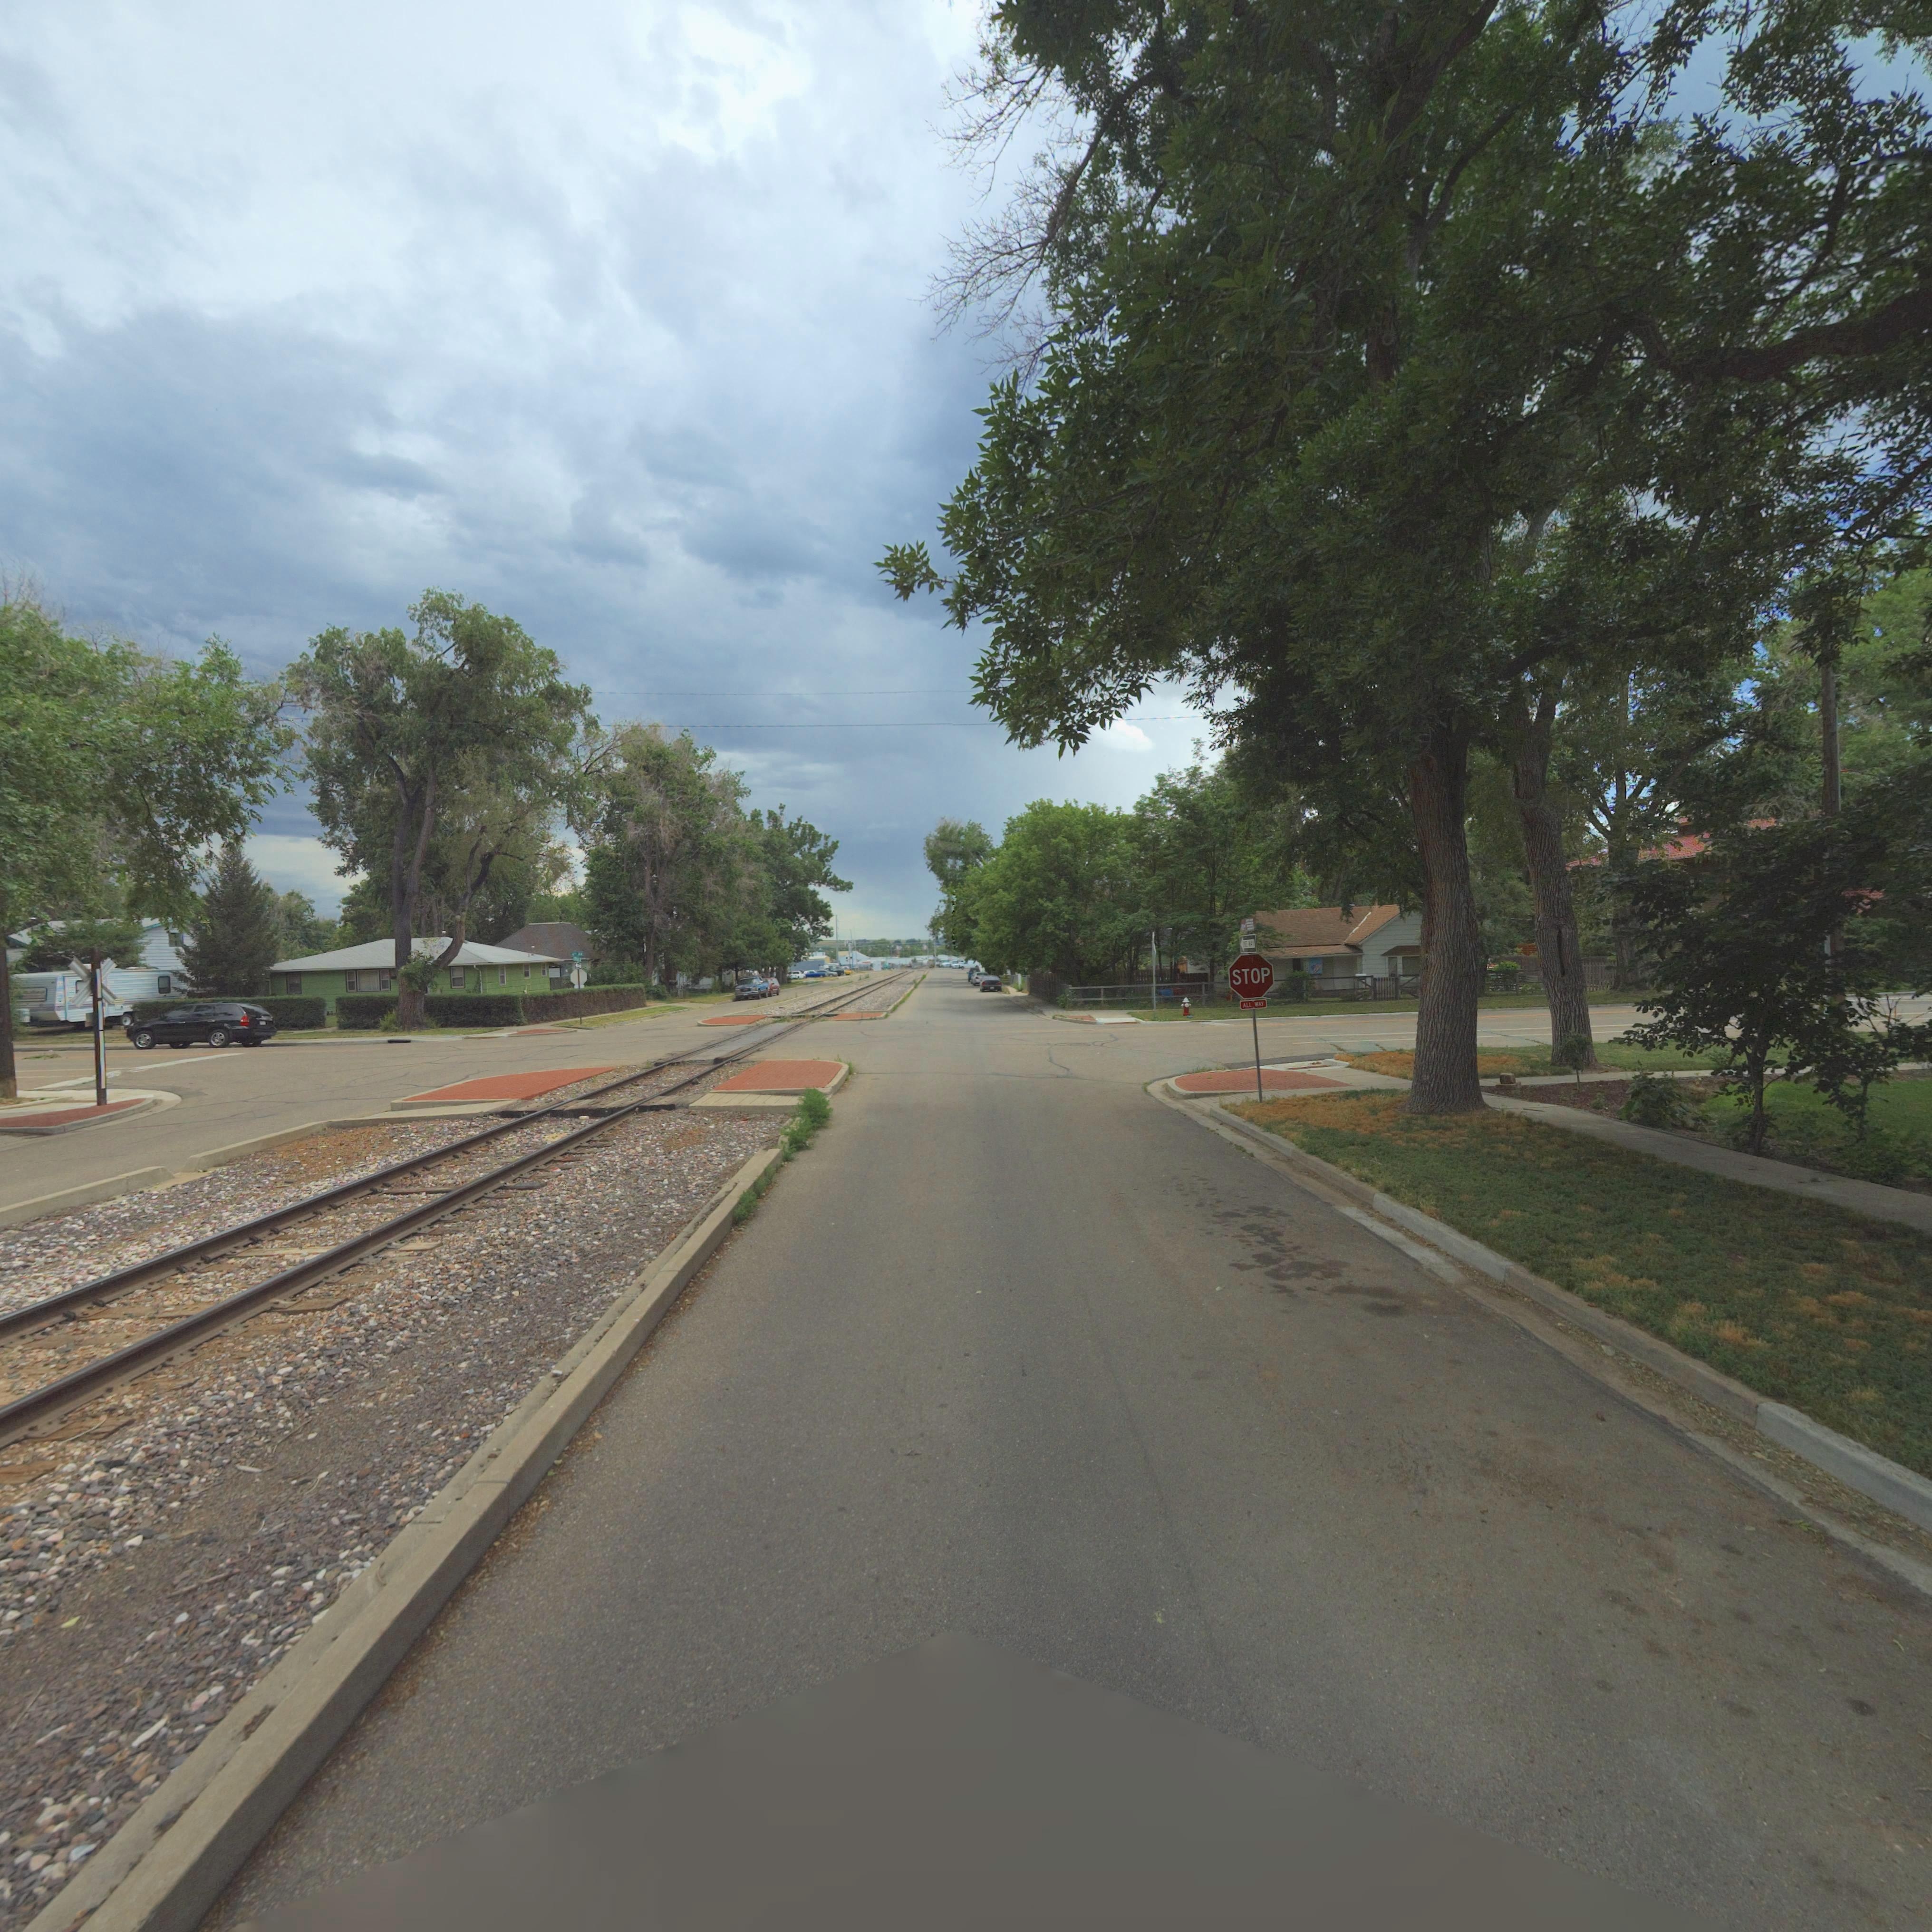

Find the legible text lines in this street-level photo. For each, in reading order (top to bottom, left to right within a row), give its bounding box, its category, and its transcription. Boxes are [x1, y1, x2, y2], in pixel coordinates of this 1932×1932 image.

[571, 952, 583, 956] StreetName: 4* **